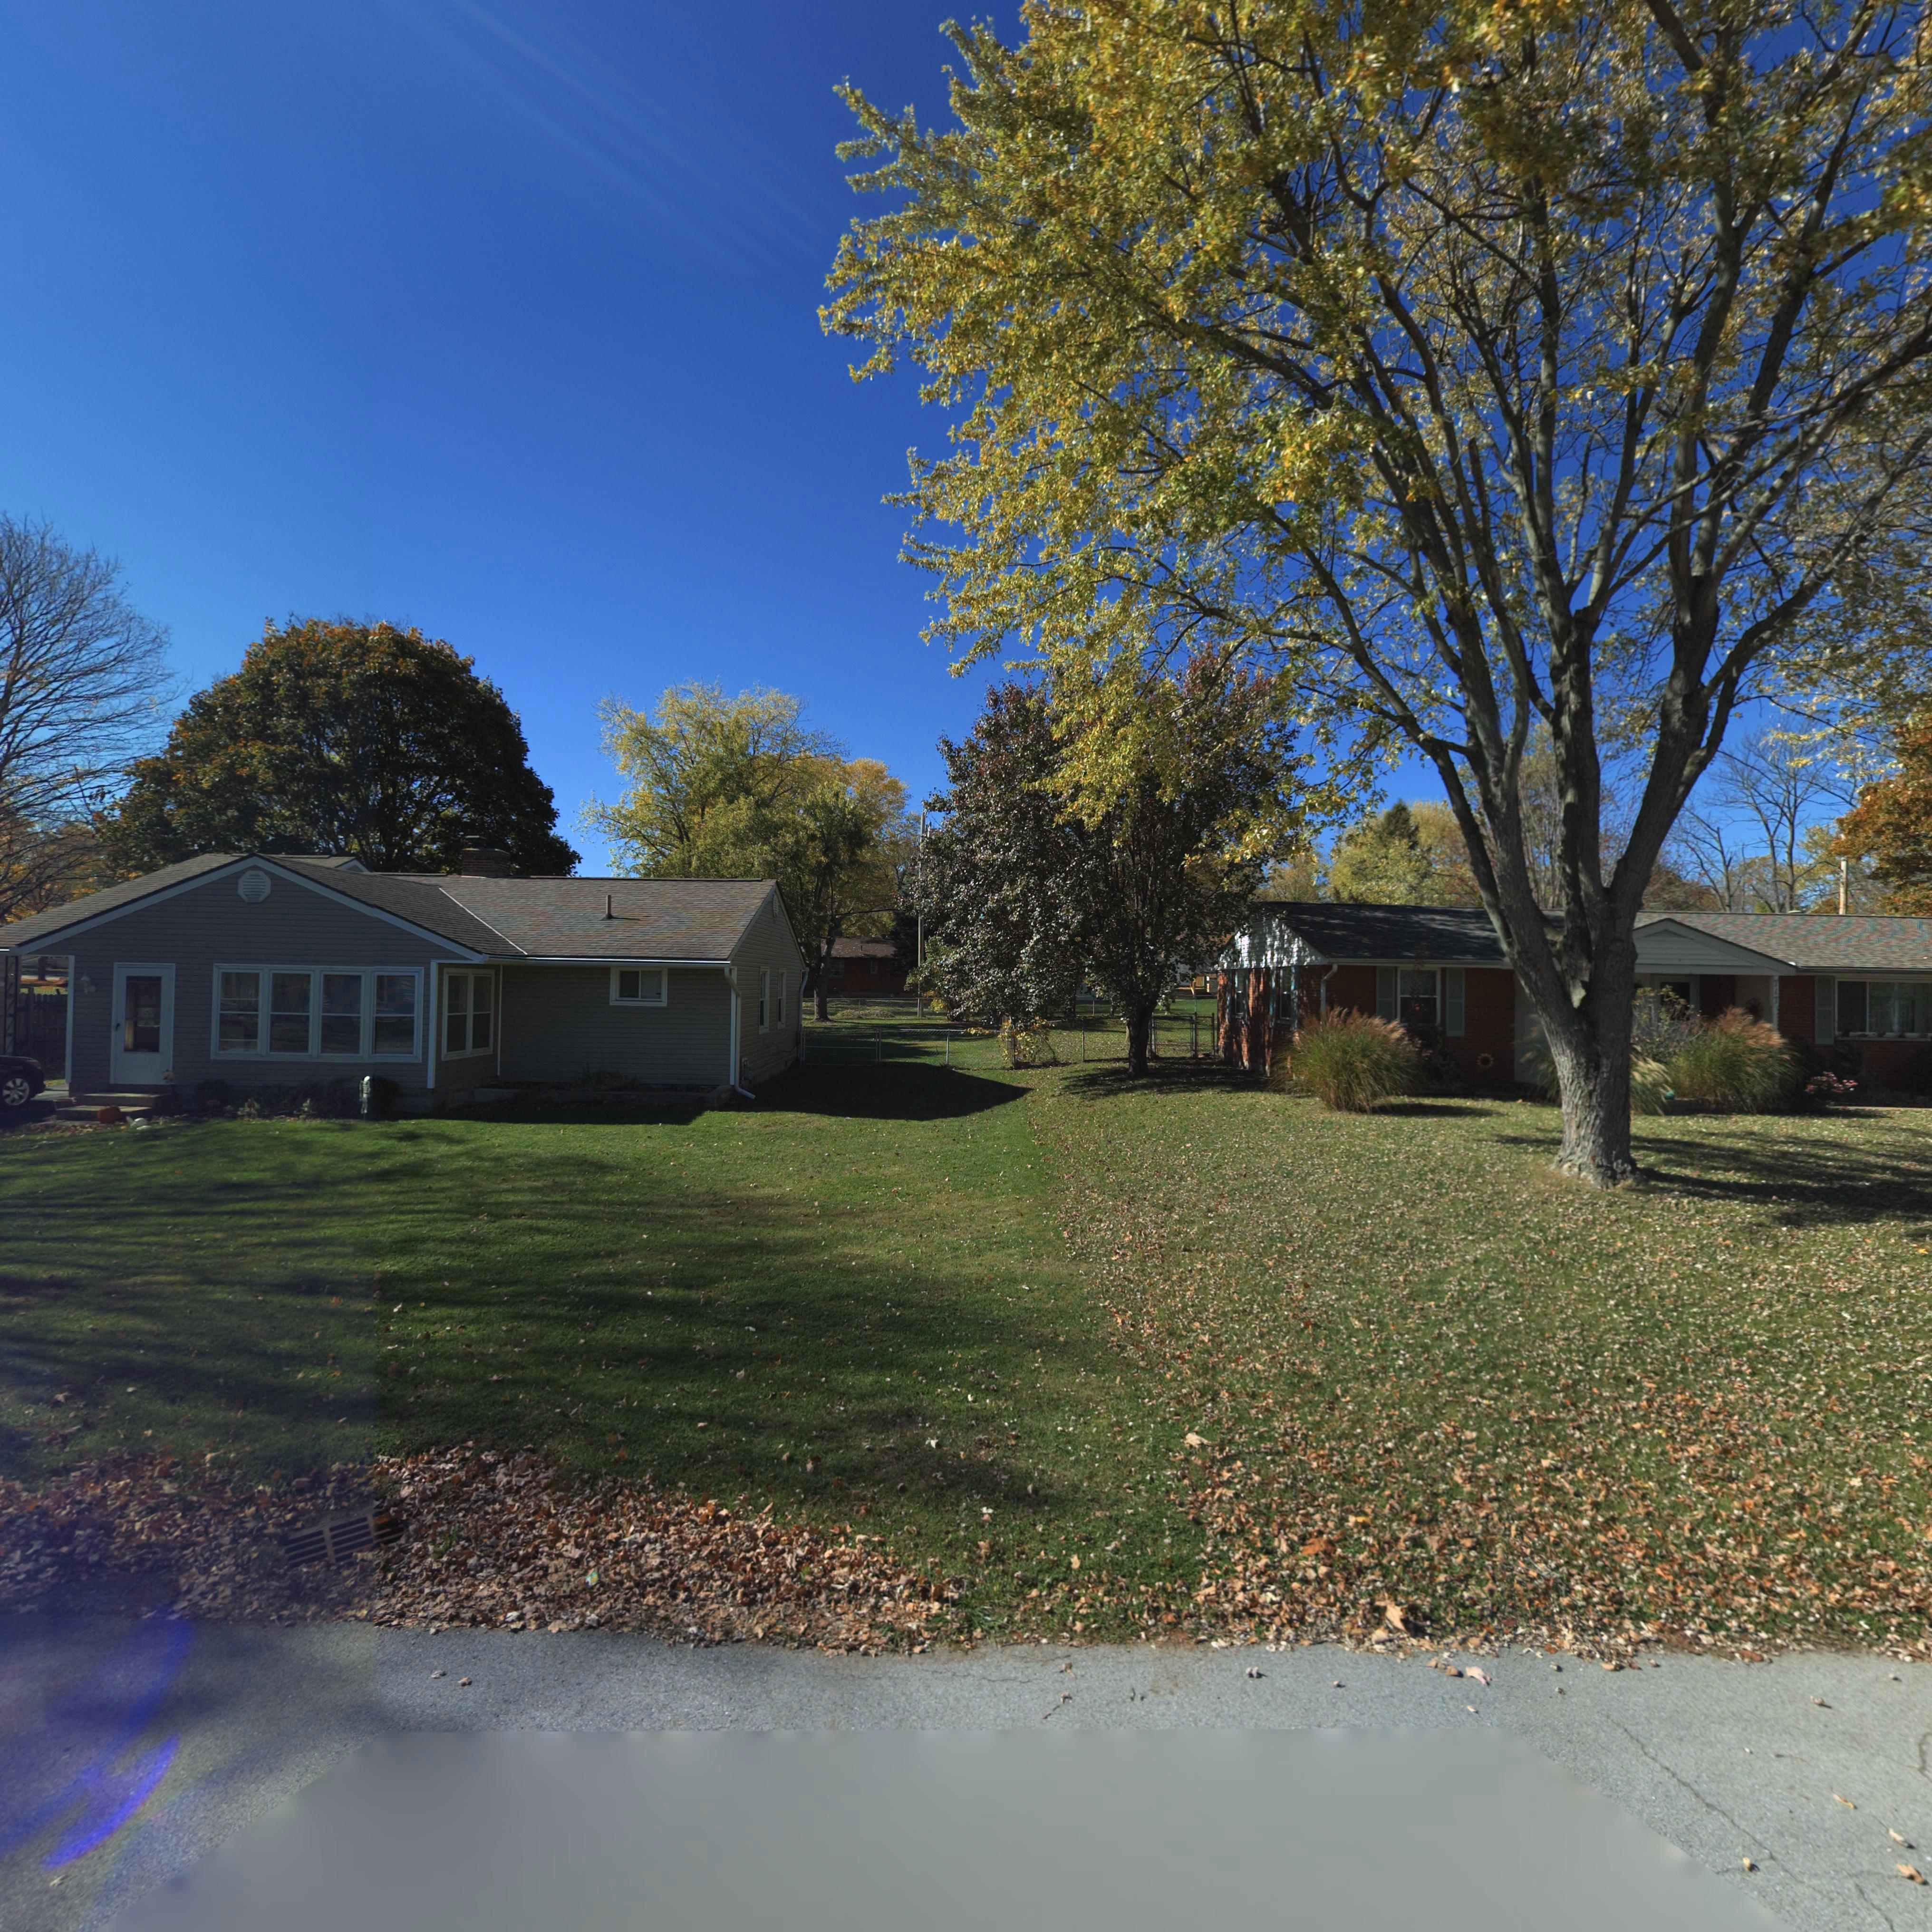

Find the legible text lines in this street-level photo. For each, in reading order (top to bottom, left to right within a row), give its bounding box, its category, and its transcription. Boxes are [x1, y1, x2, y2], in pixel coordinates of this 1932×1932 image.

[1773, 979, 1779, 1005] StreetNumber: 717